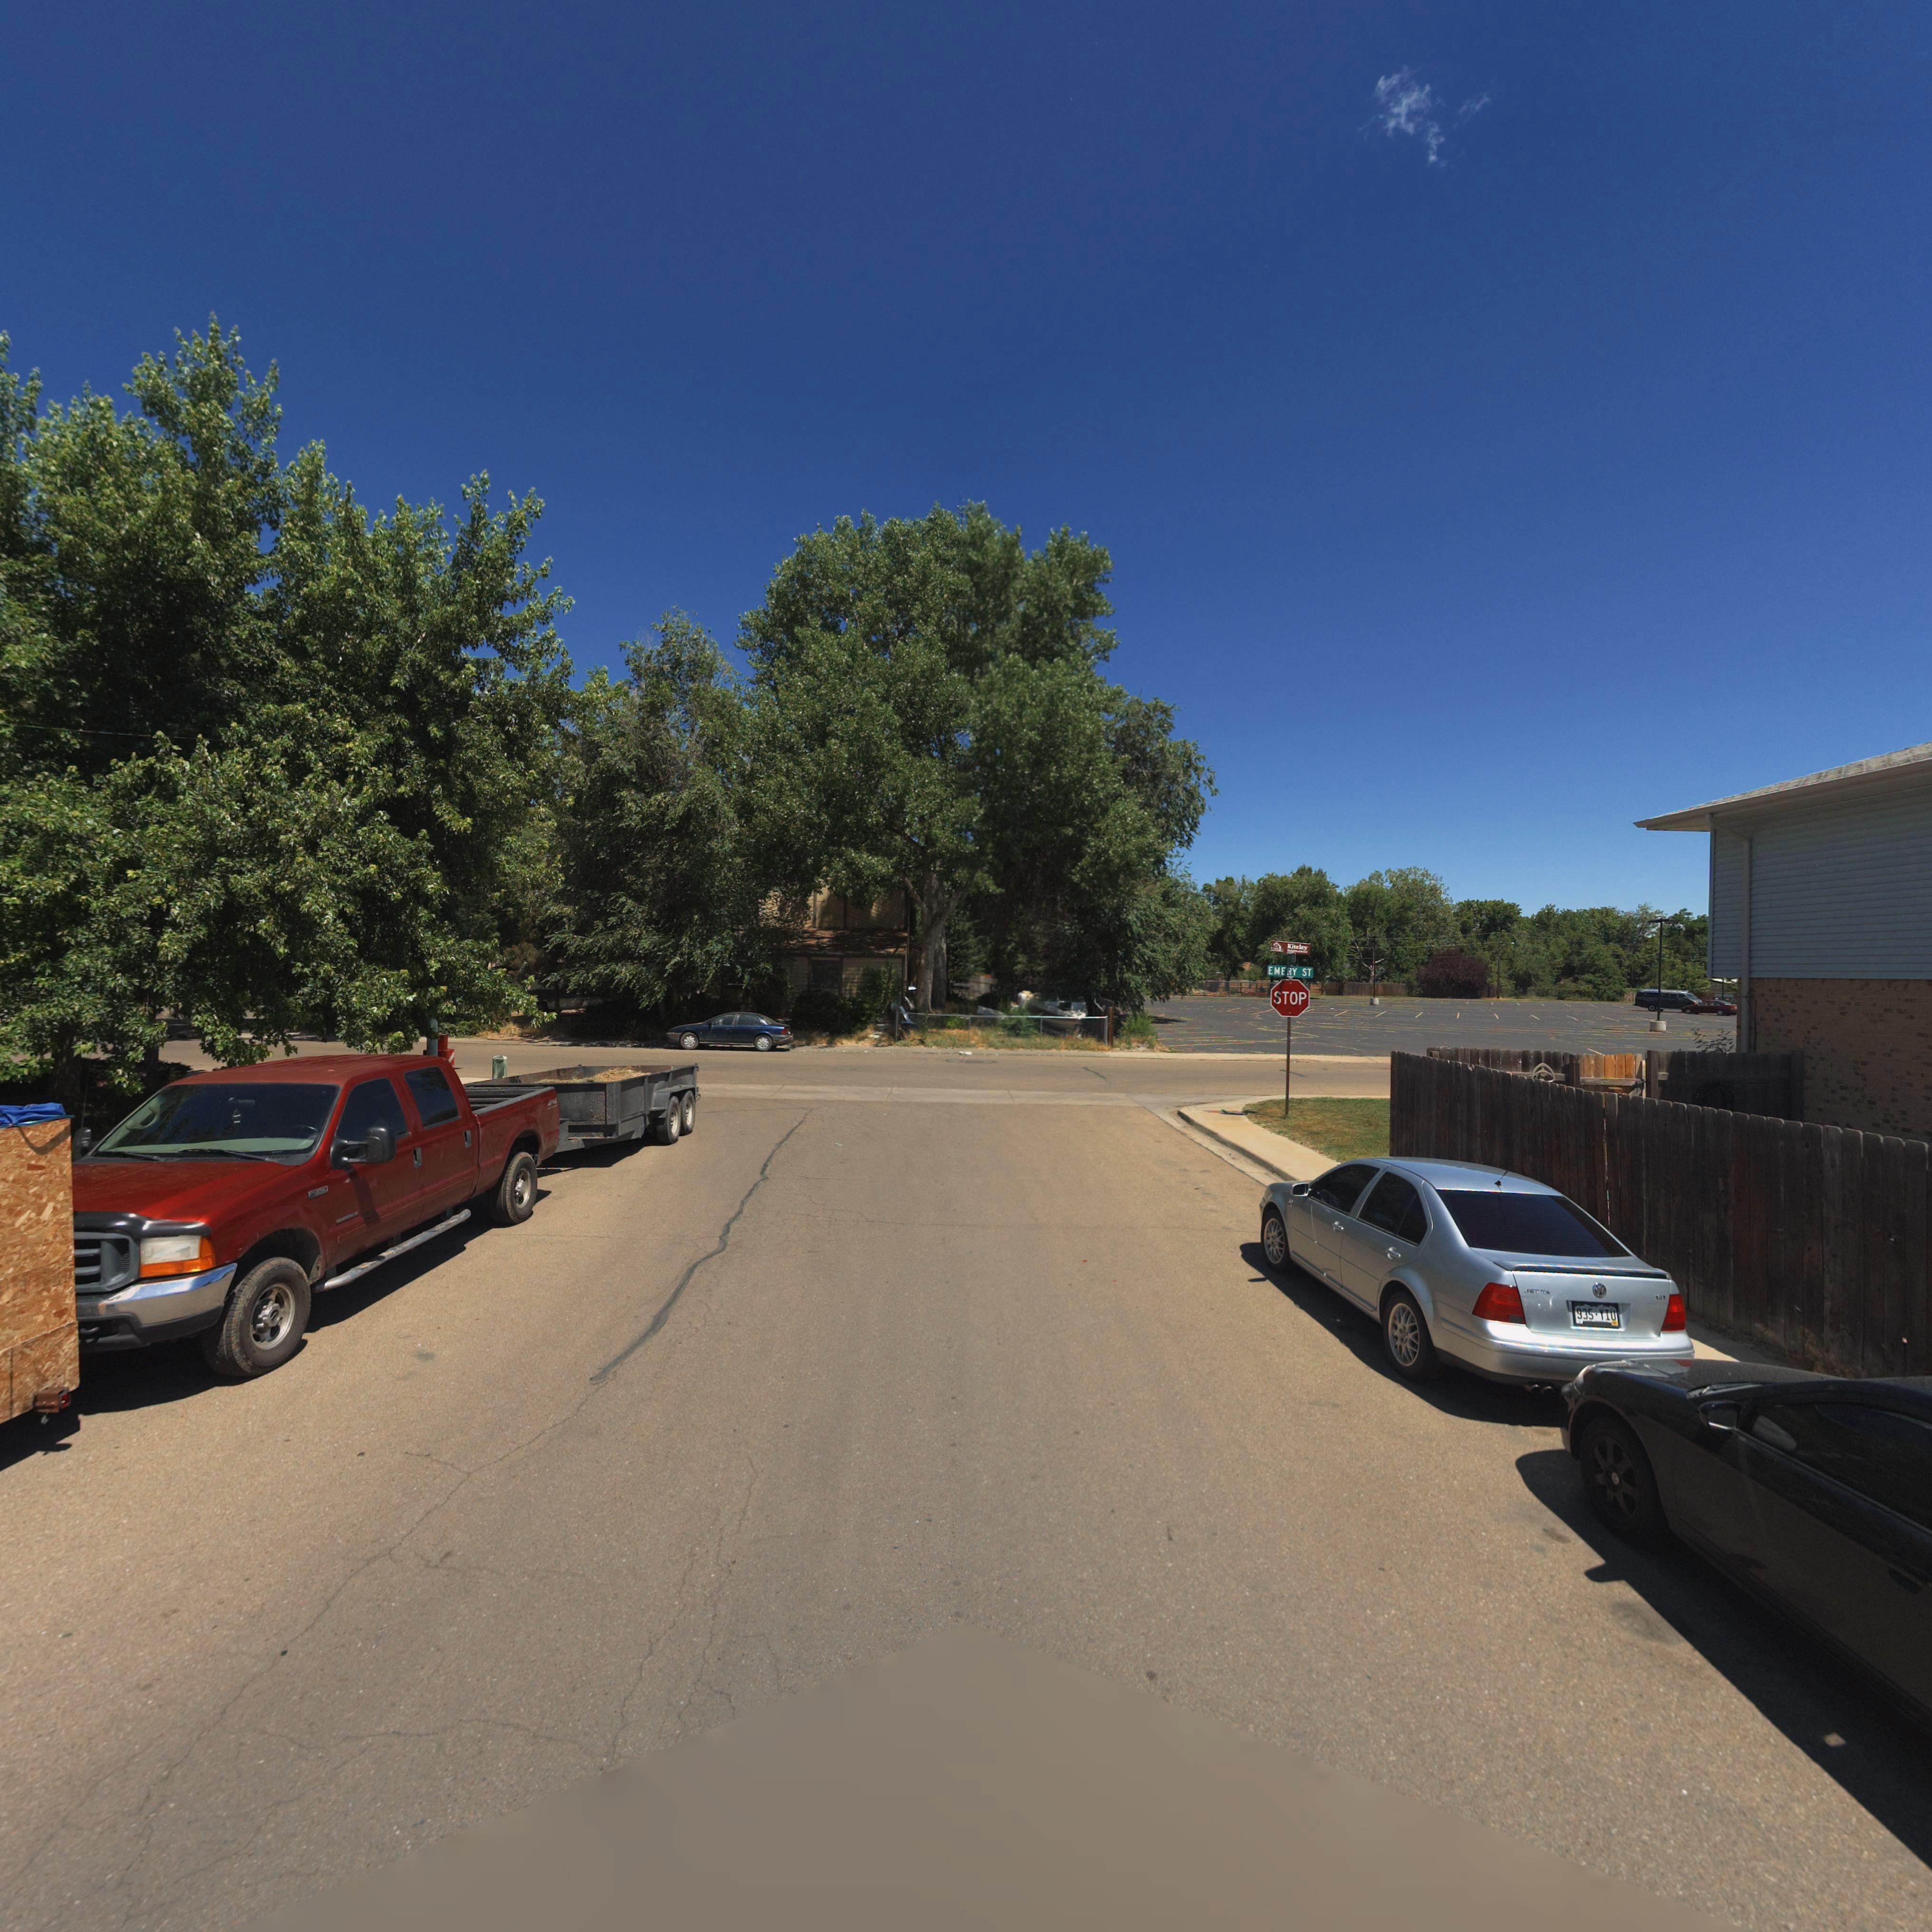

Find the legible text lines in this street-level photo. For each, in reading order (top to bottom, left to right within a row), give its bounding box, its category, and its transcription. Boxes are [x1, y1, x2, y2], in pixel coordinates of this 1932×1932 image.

[1268, 966, 1313, 976] StreetName: EMERY ST